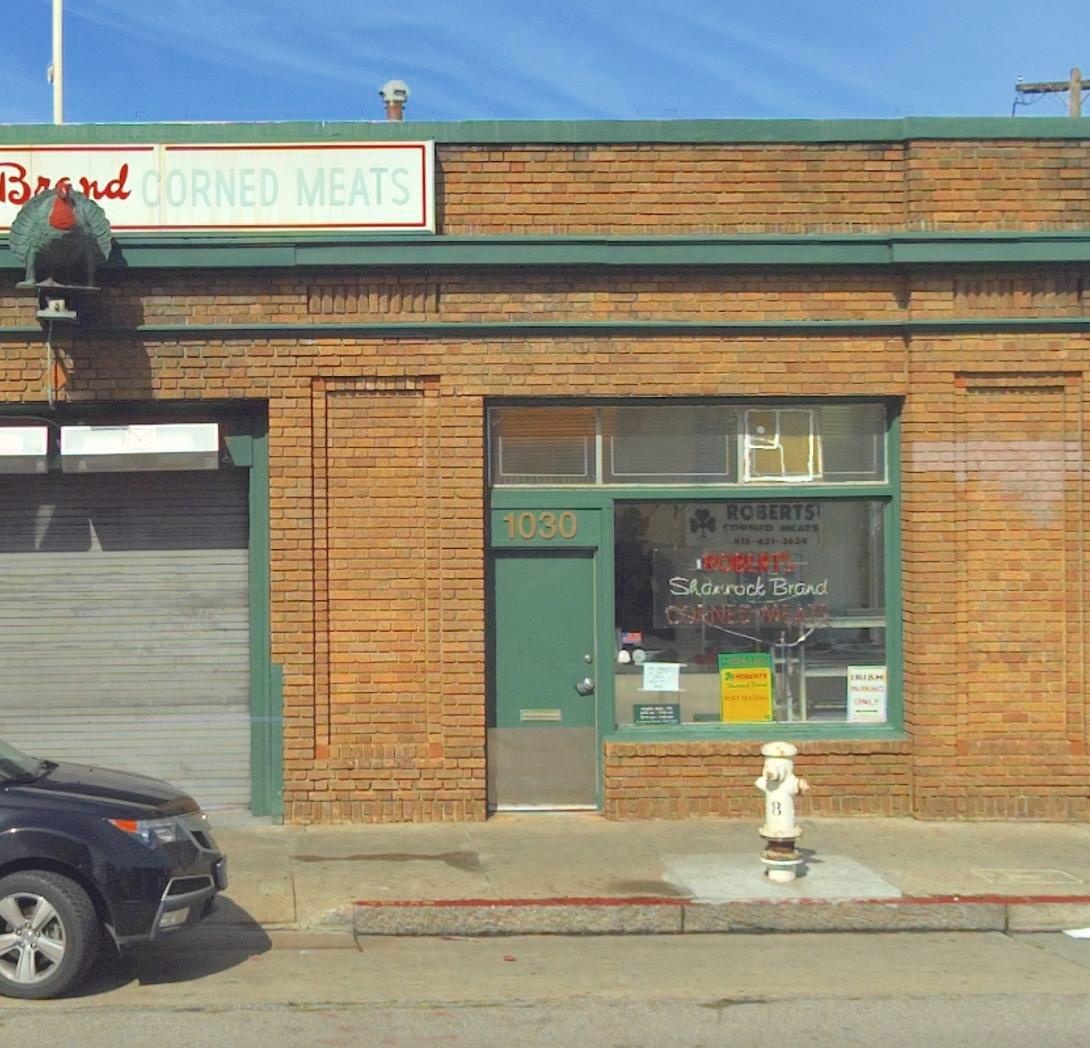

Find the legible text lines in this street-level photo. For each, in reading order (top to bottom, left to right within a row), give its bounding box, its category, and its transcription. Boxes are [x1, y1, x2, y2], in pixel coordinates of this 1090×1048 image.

[0, 159, 414, 211] BusinessName: B**nd CORNED MEATS
[499, 507, 580, 543] StreetNumber: 1030
[720, 521, 822, 536] BusinessName: CORNED MEATS
[730, 534, 812, 549] None: 415-621-**24
[723, 500, 820, 527] BusinessName: ROBERTS
[698, 547, 798, 578] BusinessName: ROBERTS
[665, 571, 831, 603] BusinessName: Sh**rock Brand
[662, 599, 834, 629] BusinessName: CORNED MEATS
[872, 673, 887, 684] None: M
[852, 695, 881, 708] None: ONLY